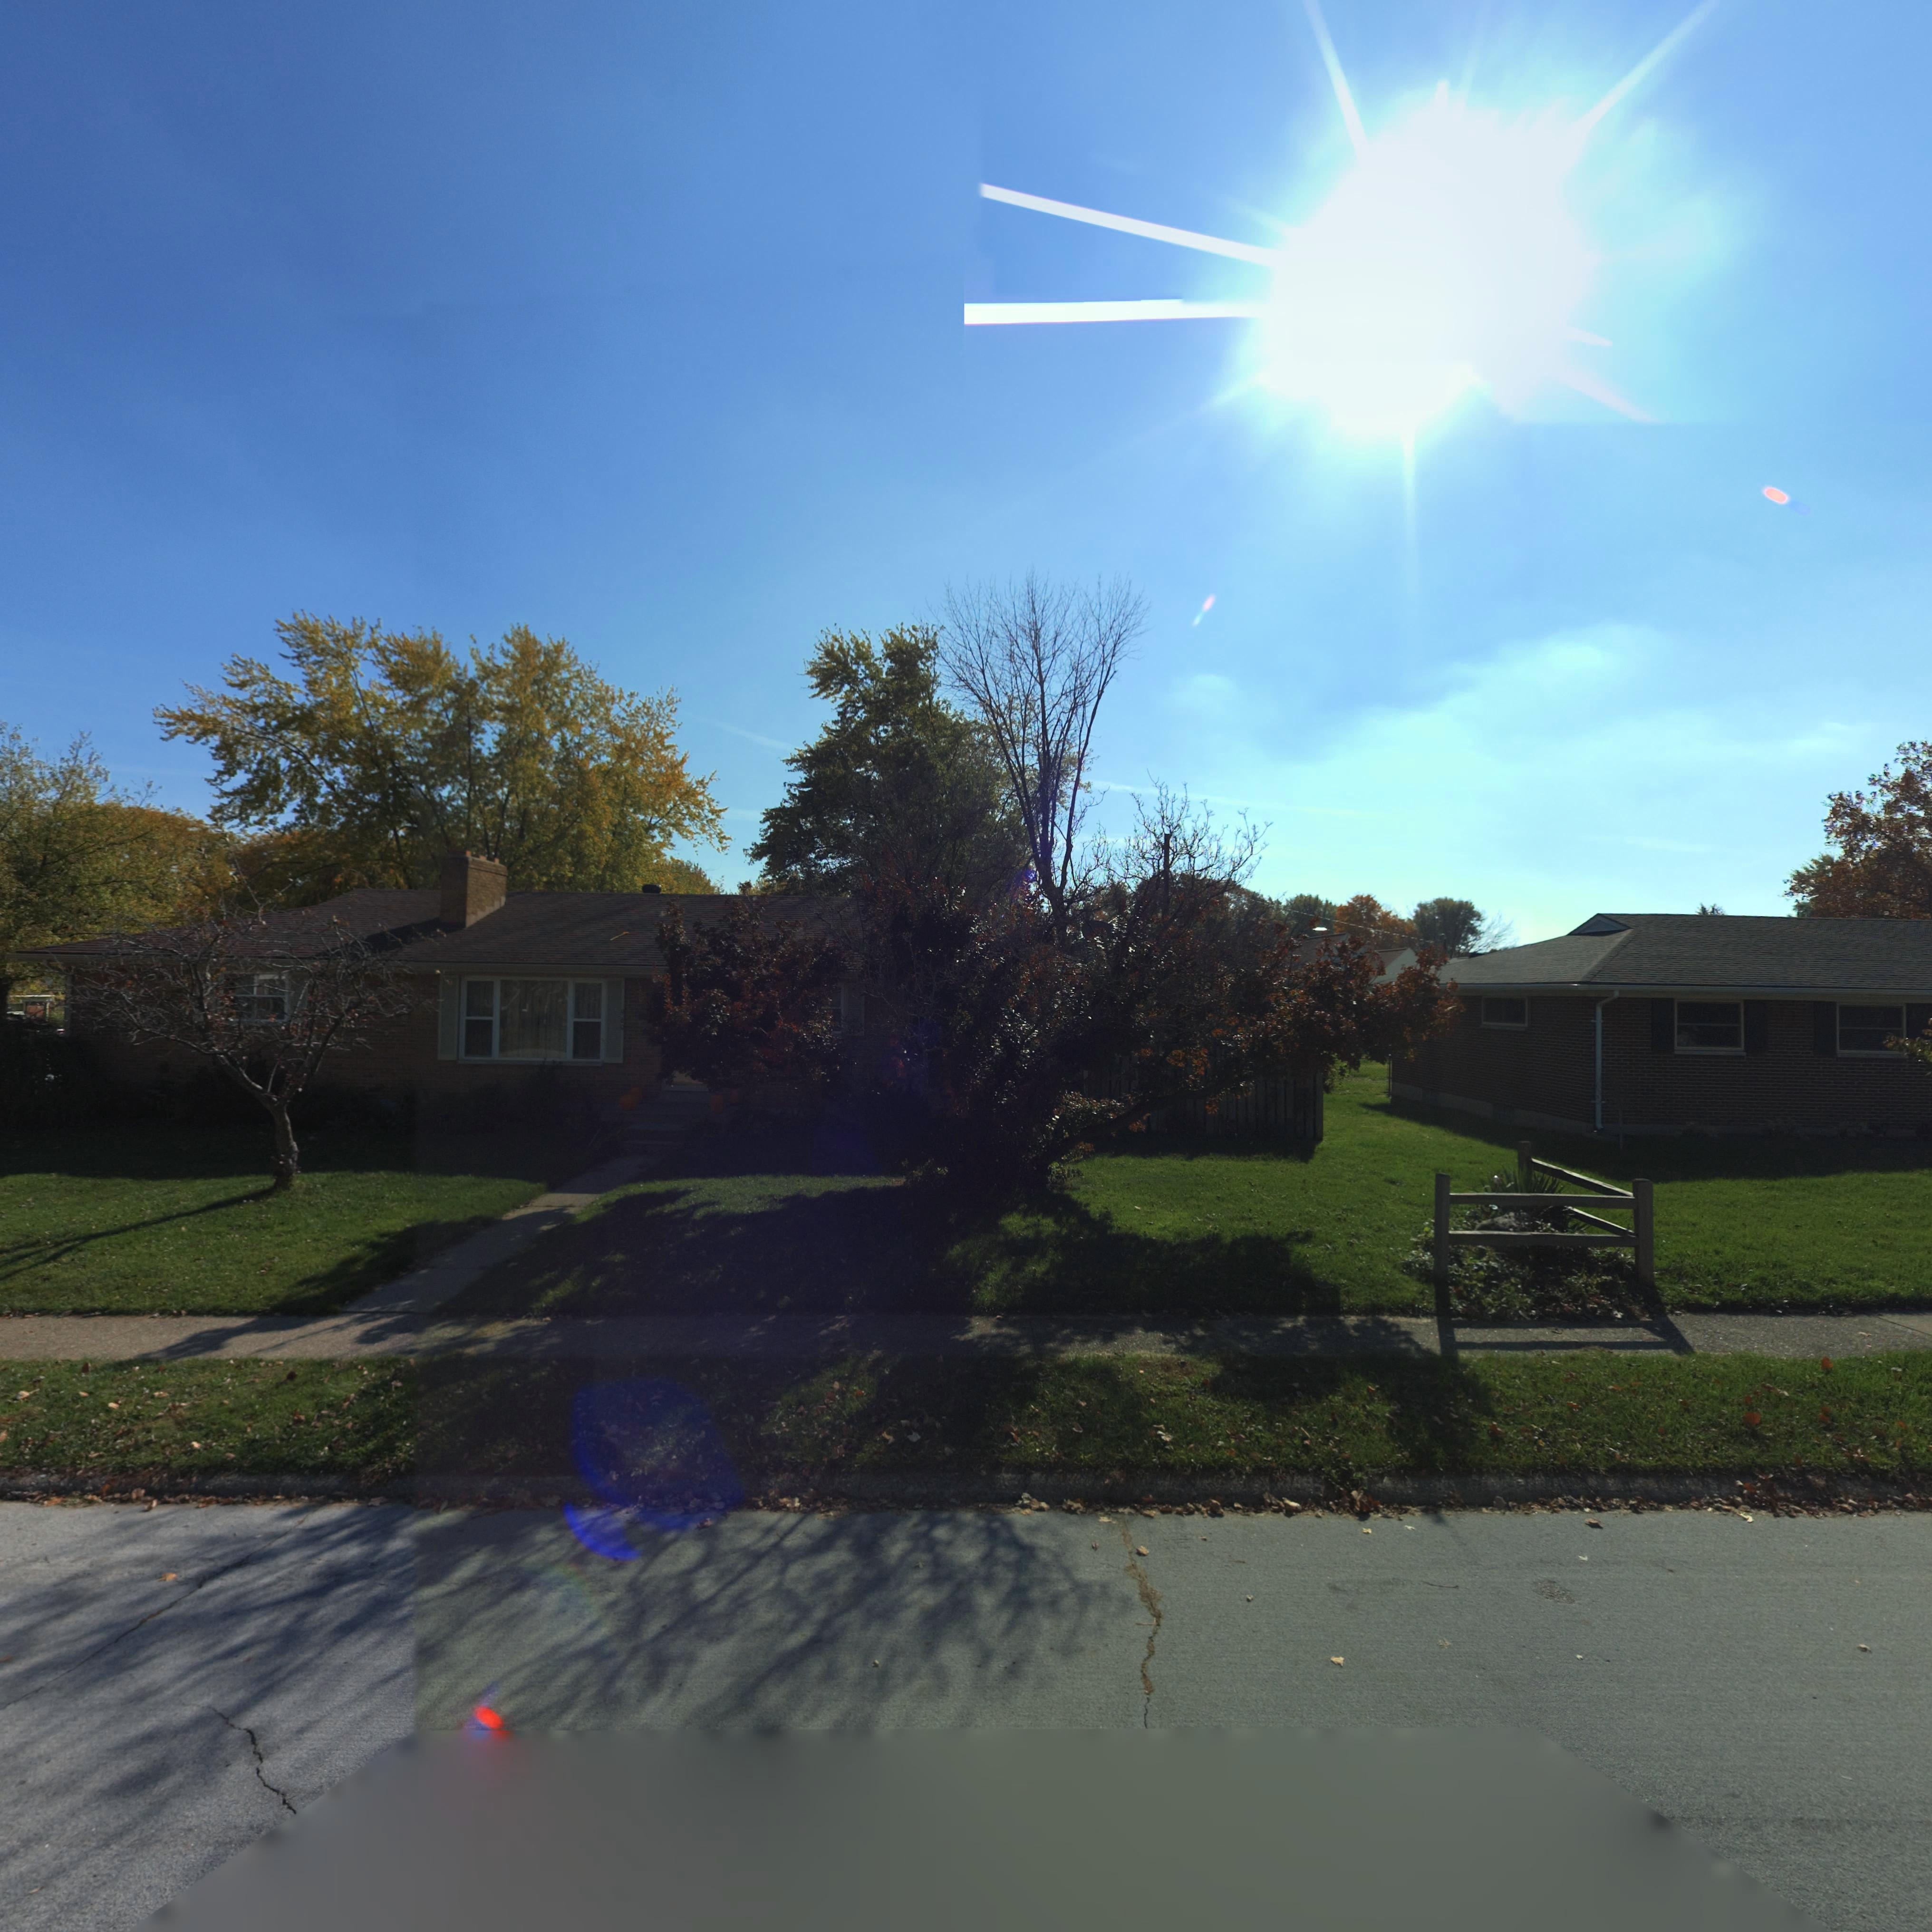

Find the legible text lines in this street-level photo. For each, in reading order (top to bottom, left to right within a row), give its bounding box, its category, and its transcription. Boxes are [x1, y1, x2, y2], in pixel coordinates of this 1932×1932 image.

[620, 1008, 625, 1030] StreetNumber: 960